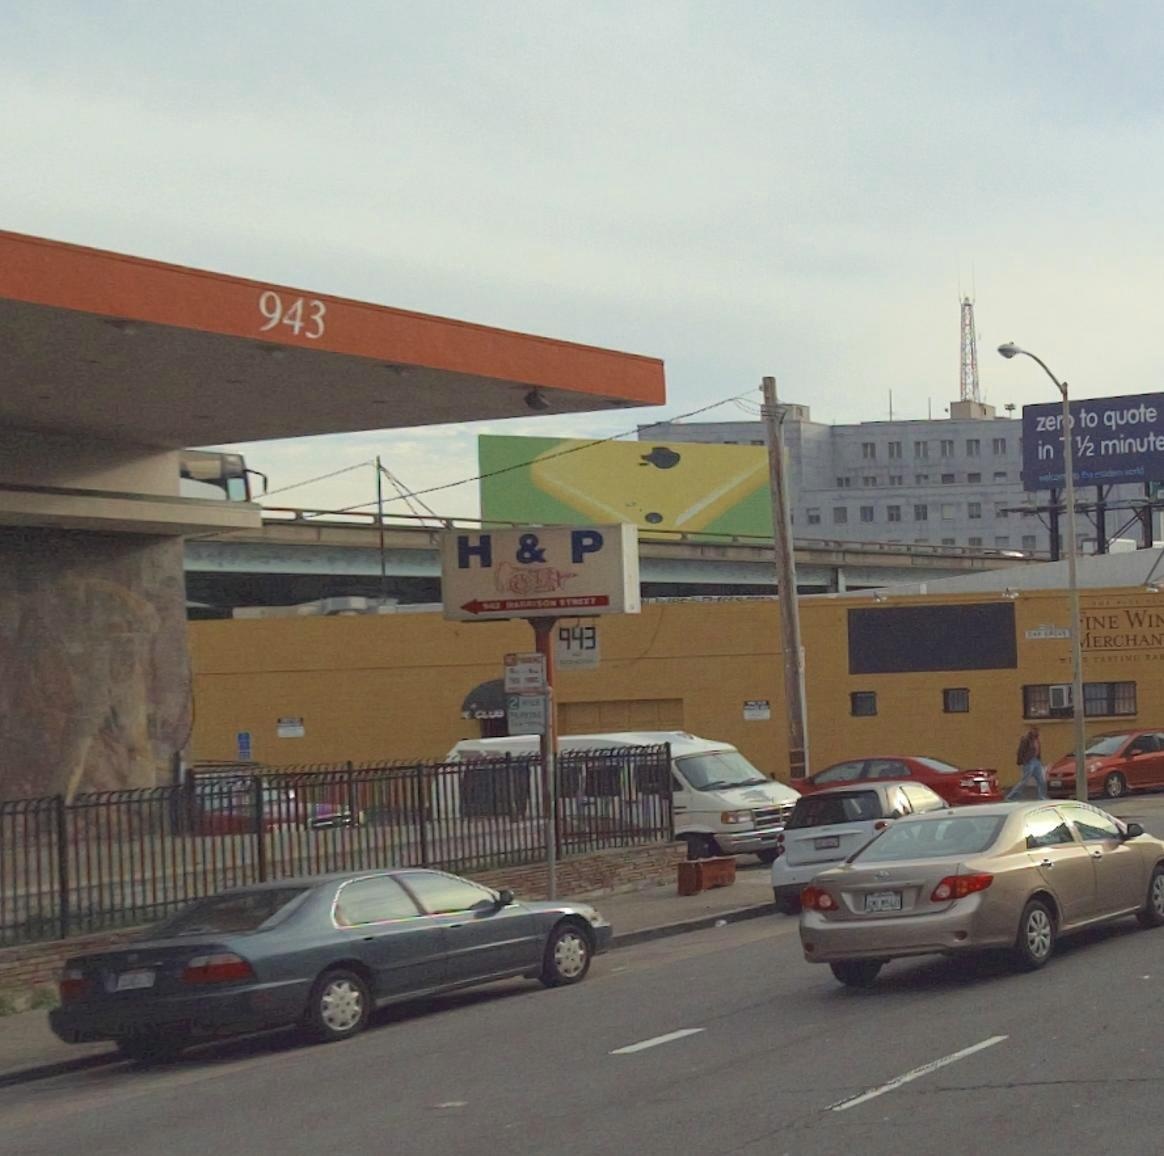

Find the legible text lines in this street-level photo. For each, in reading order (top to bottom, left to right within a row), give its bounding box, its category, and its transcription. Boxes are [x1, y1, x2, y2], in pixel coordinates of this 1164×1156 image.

[252, 285, 329, 344] StreetNumber: 943
[1033, 400, 1161, 435] None: zer* to quote
[1034, 427, 1160, 463] None: in * 1/2 minut
[454, 527, 606, 571] BusinessName: H & P
[1082, 607, 1155, 631] BusinessName: INE WI
[556, 624, 598, 653] StreetNumber: 943
[1090, 631, 1163, 651] BusinessName: ERCHAN
[1091, 651, 1161, 666] None: TASTING BA
[507, 695, 520, 710] None: 2